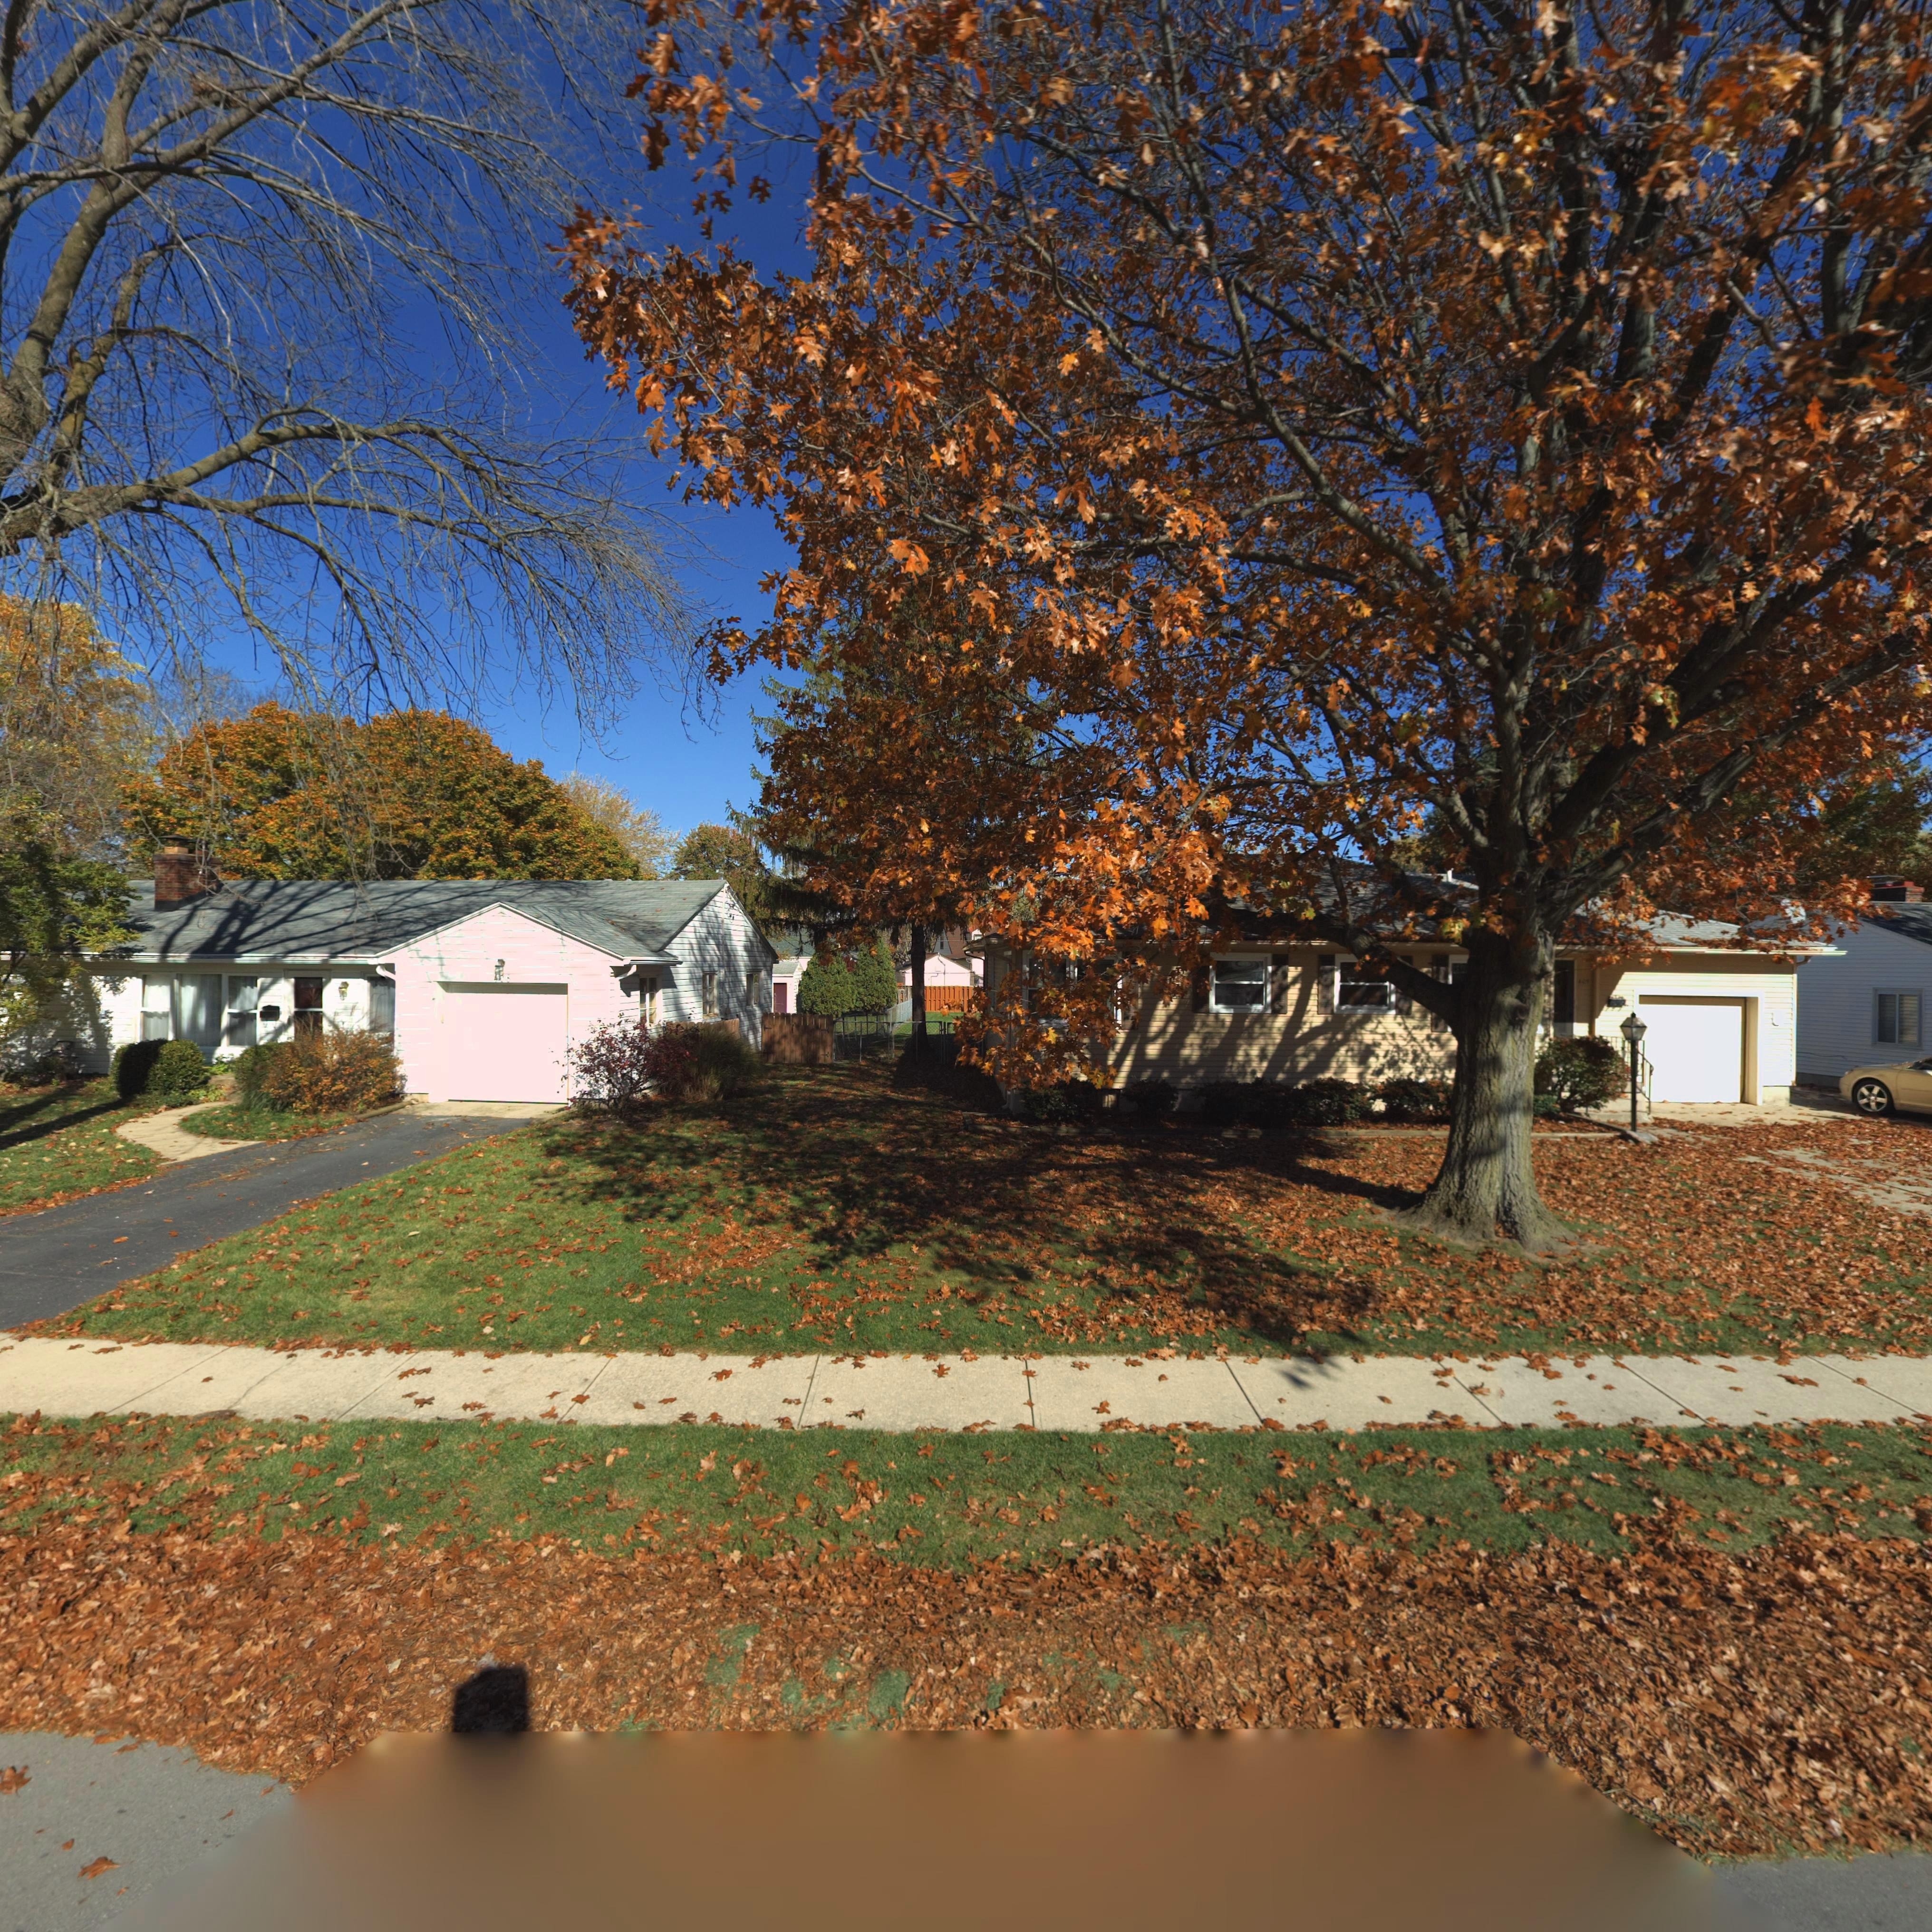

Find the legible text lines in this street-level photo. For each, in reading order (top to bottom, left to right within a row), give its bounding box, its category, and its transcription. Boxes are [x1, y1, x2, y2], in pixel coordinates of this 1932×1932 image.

[493, 973, 511, 983] StreetNumber: 408
[1578, 978, 1590, 985] StreetNumber: 40*